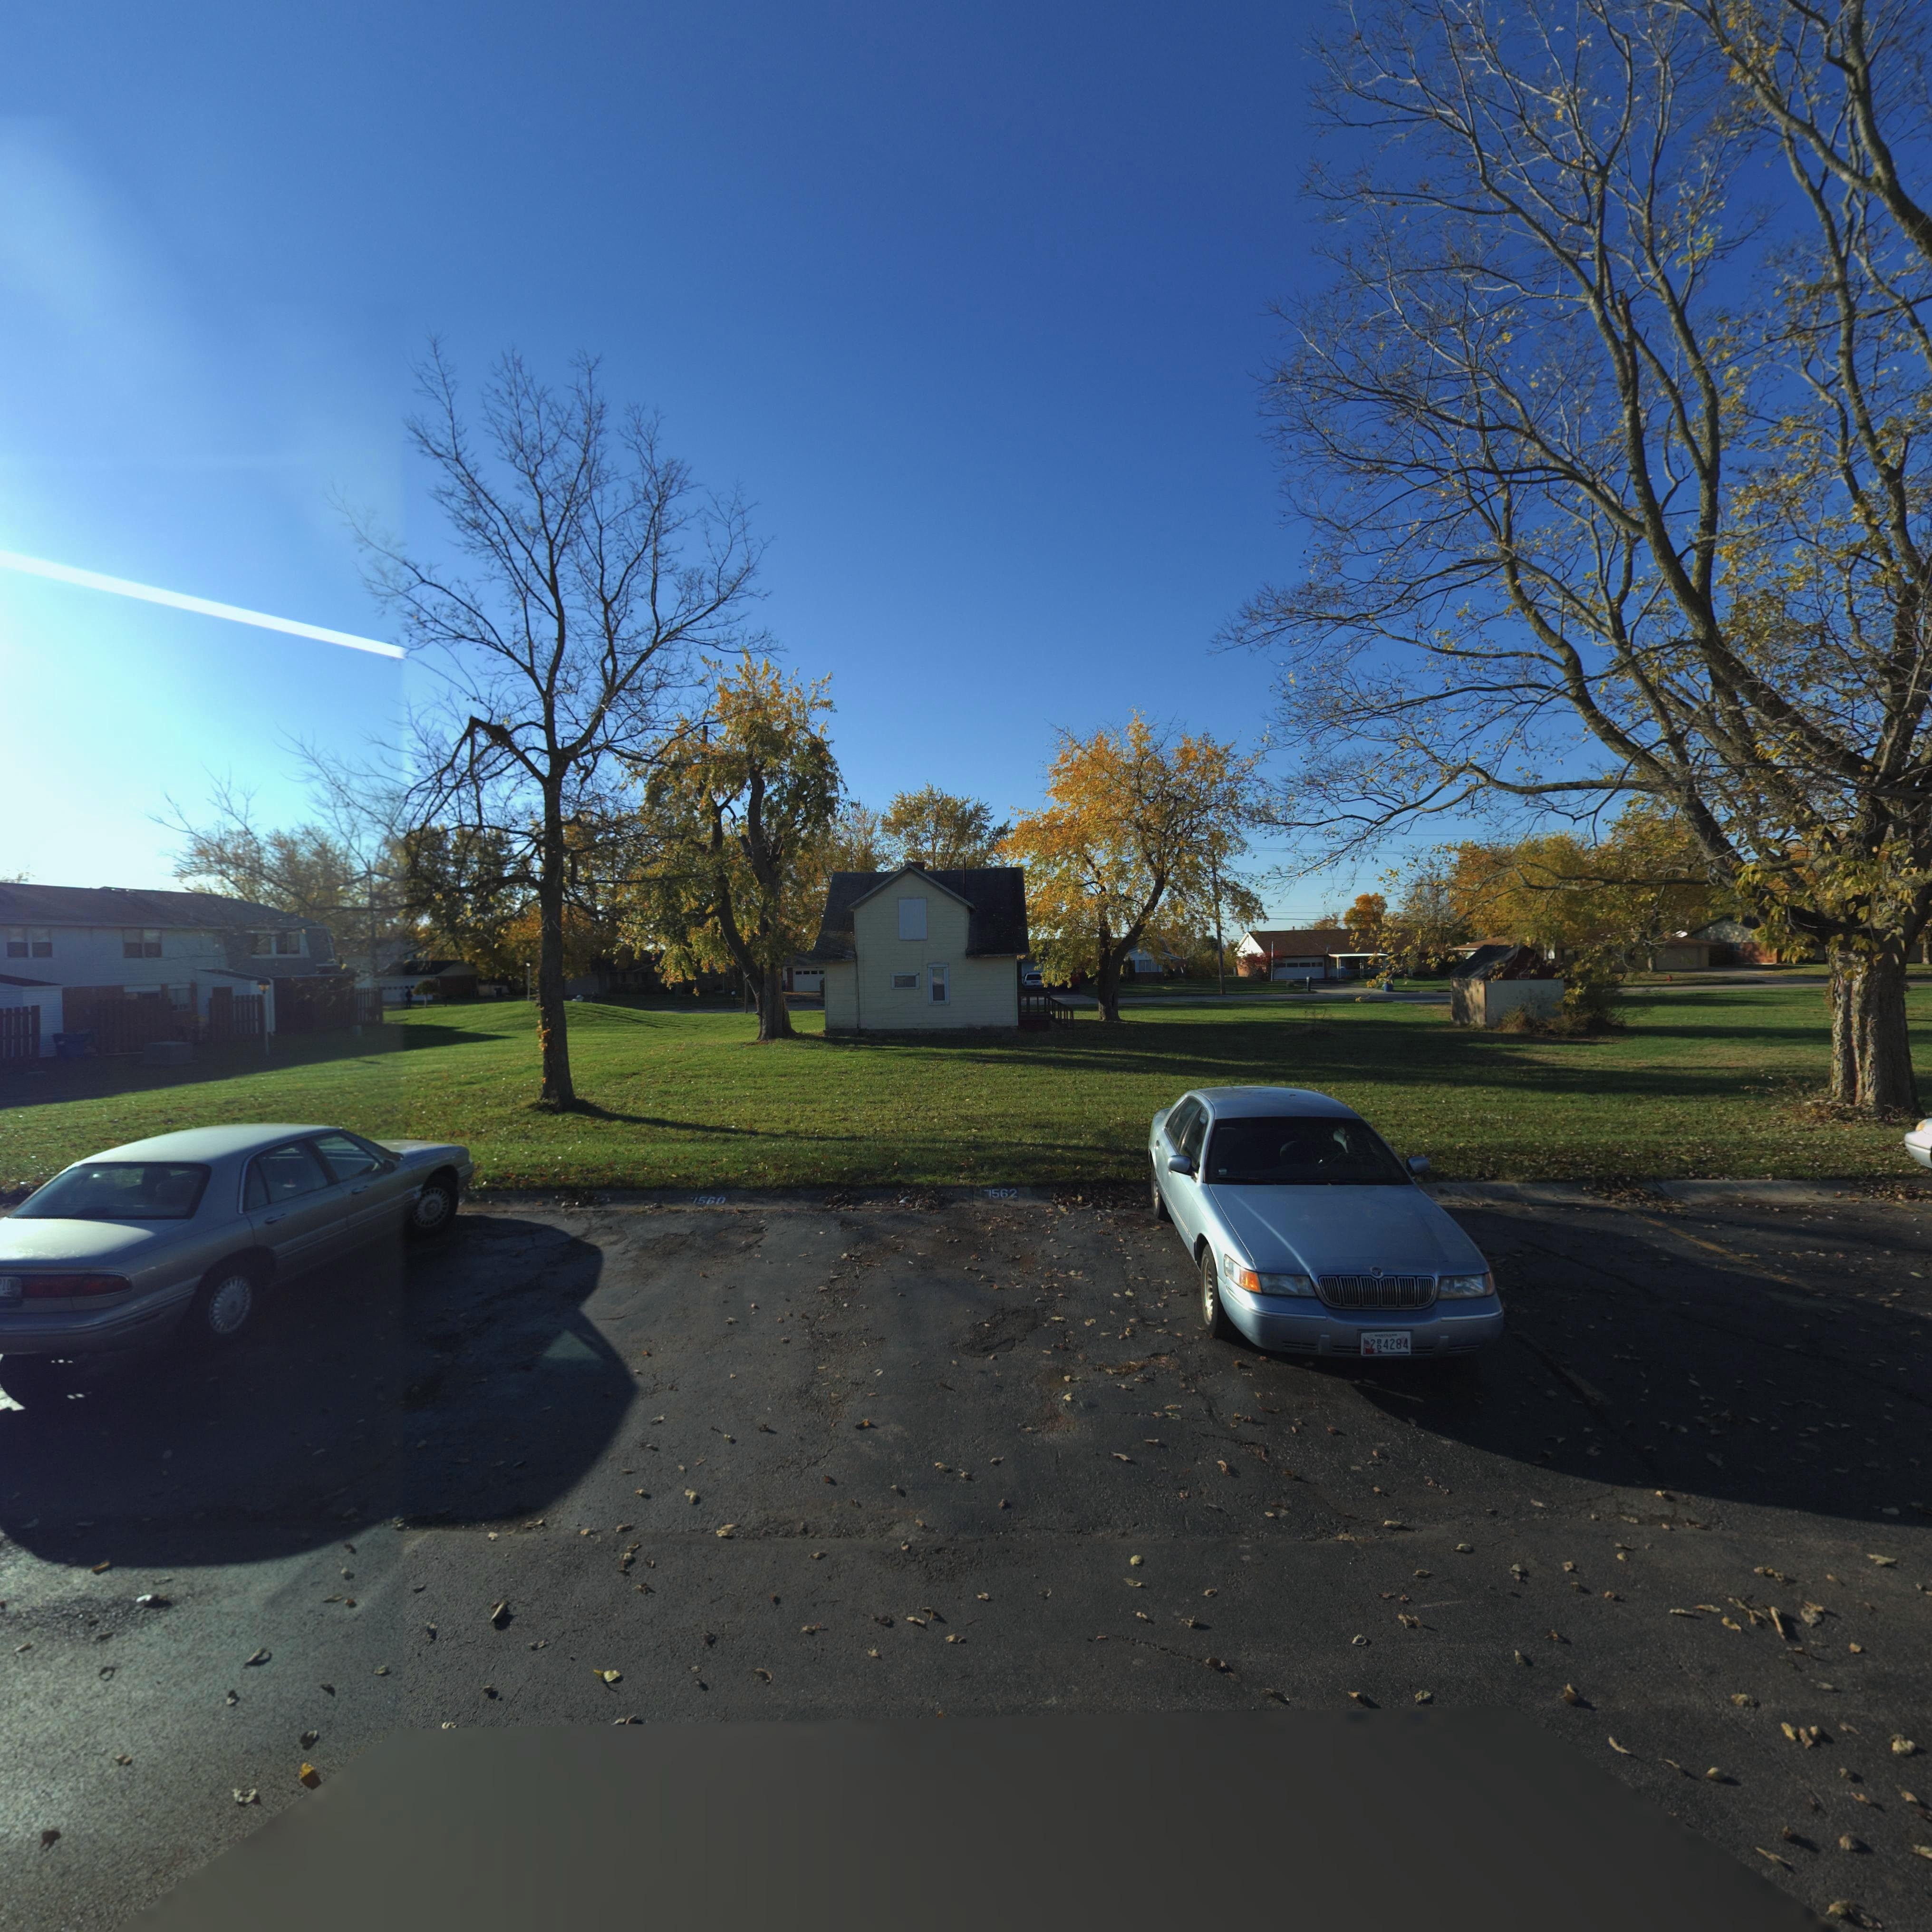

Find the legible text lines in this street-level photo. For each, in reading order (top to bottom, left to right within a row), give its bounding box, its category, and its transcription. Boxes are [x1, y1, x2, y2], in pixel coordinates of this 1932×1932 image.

[983, 1187, 1019, 1200] StreetNumber: 7562
[689, 1196, 727, 1206] StreetNumber: *560
[1369, 1338, 1410, 1352] None: 2B4284